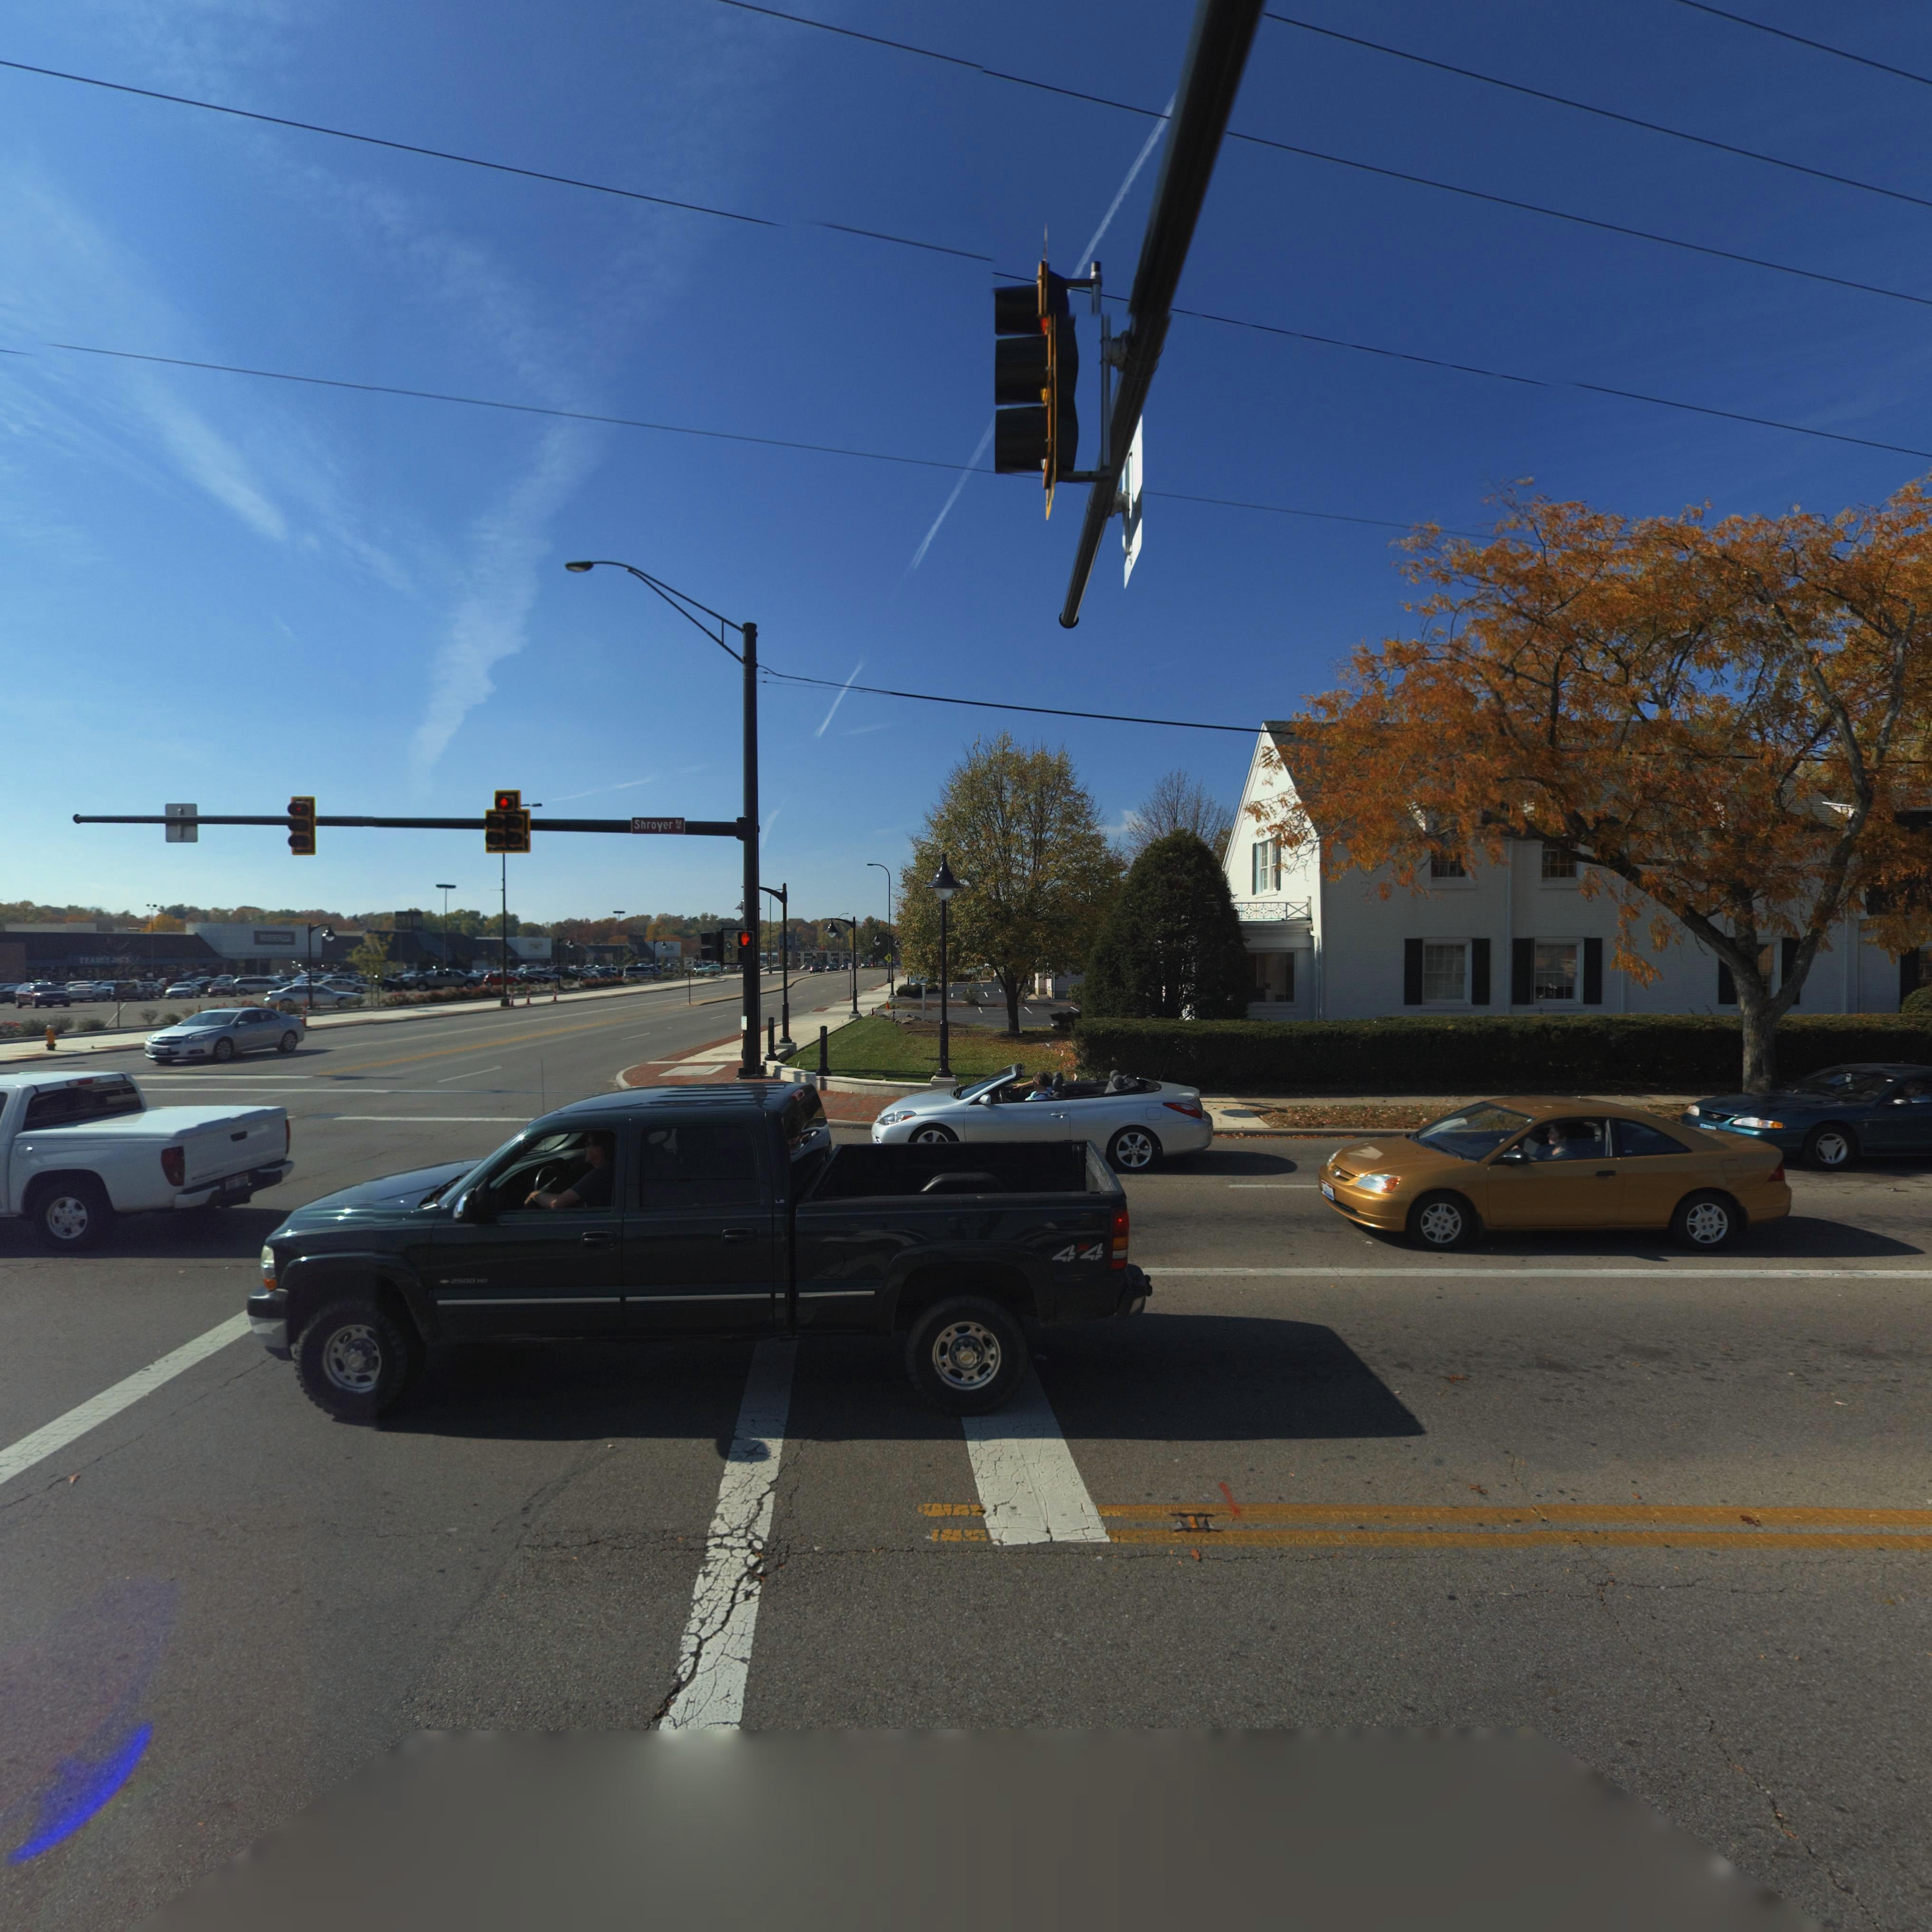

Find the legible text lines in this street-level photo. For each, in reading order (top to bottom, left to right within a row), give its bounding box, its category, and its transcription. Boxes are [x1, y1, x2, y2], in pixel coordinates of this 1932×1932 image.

[633, 819, 682, 832] StreetName: Shroyer Rd
[78, 957, 97, 964] BusinessName: TRA
[1051, 1243, 1104, 1262] None: 4x4
[449, 1278, 489, 1285] None: 2500 HD